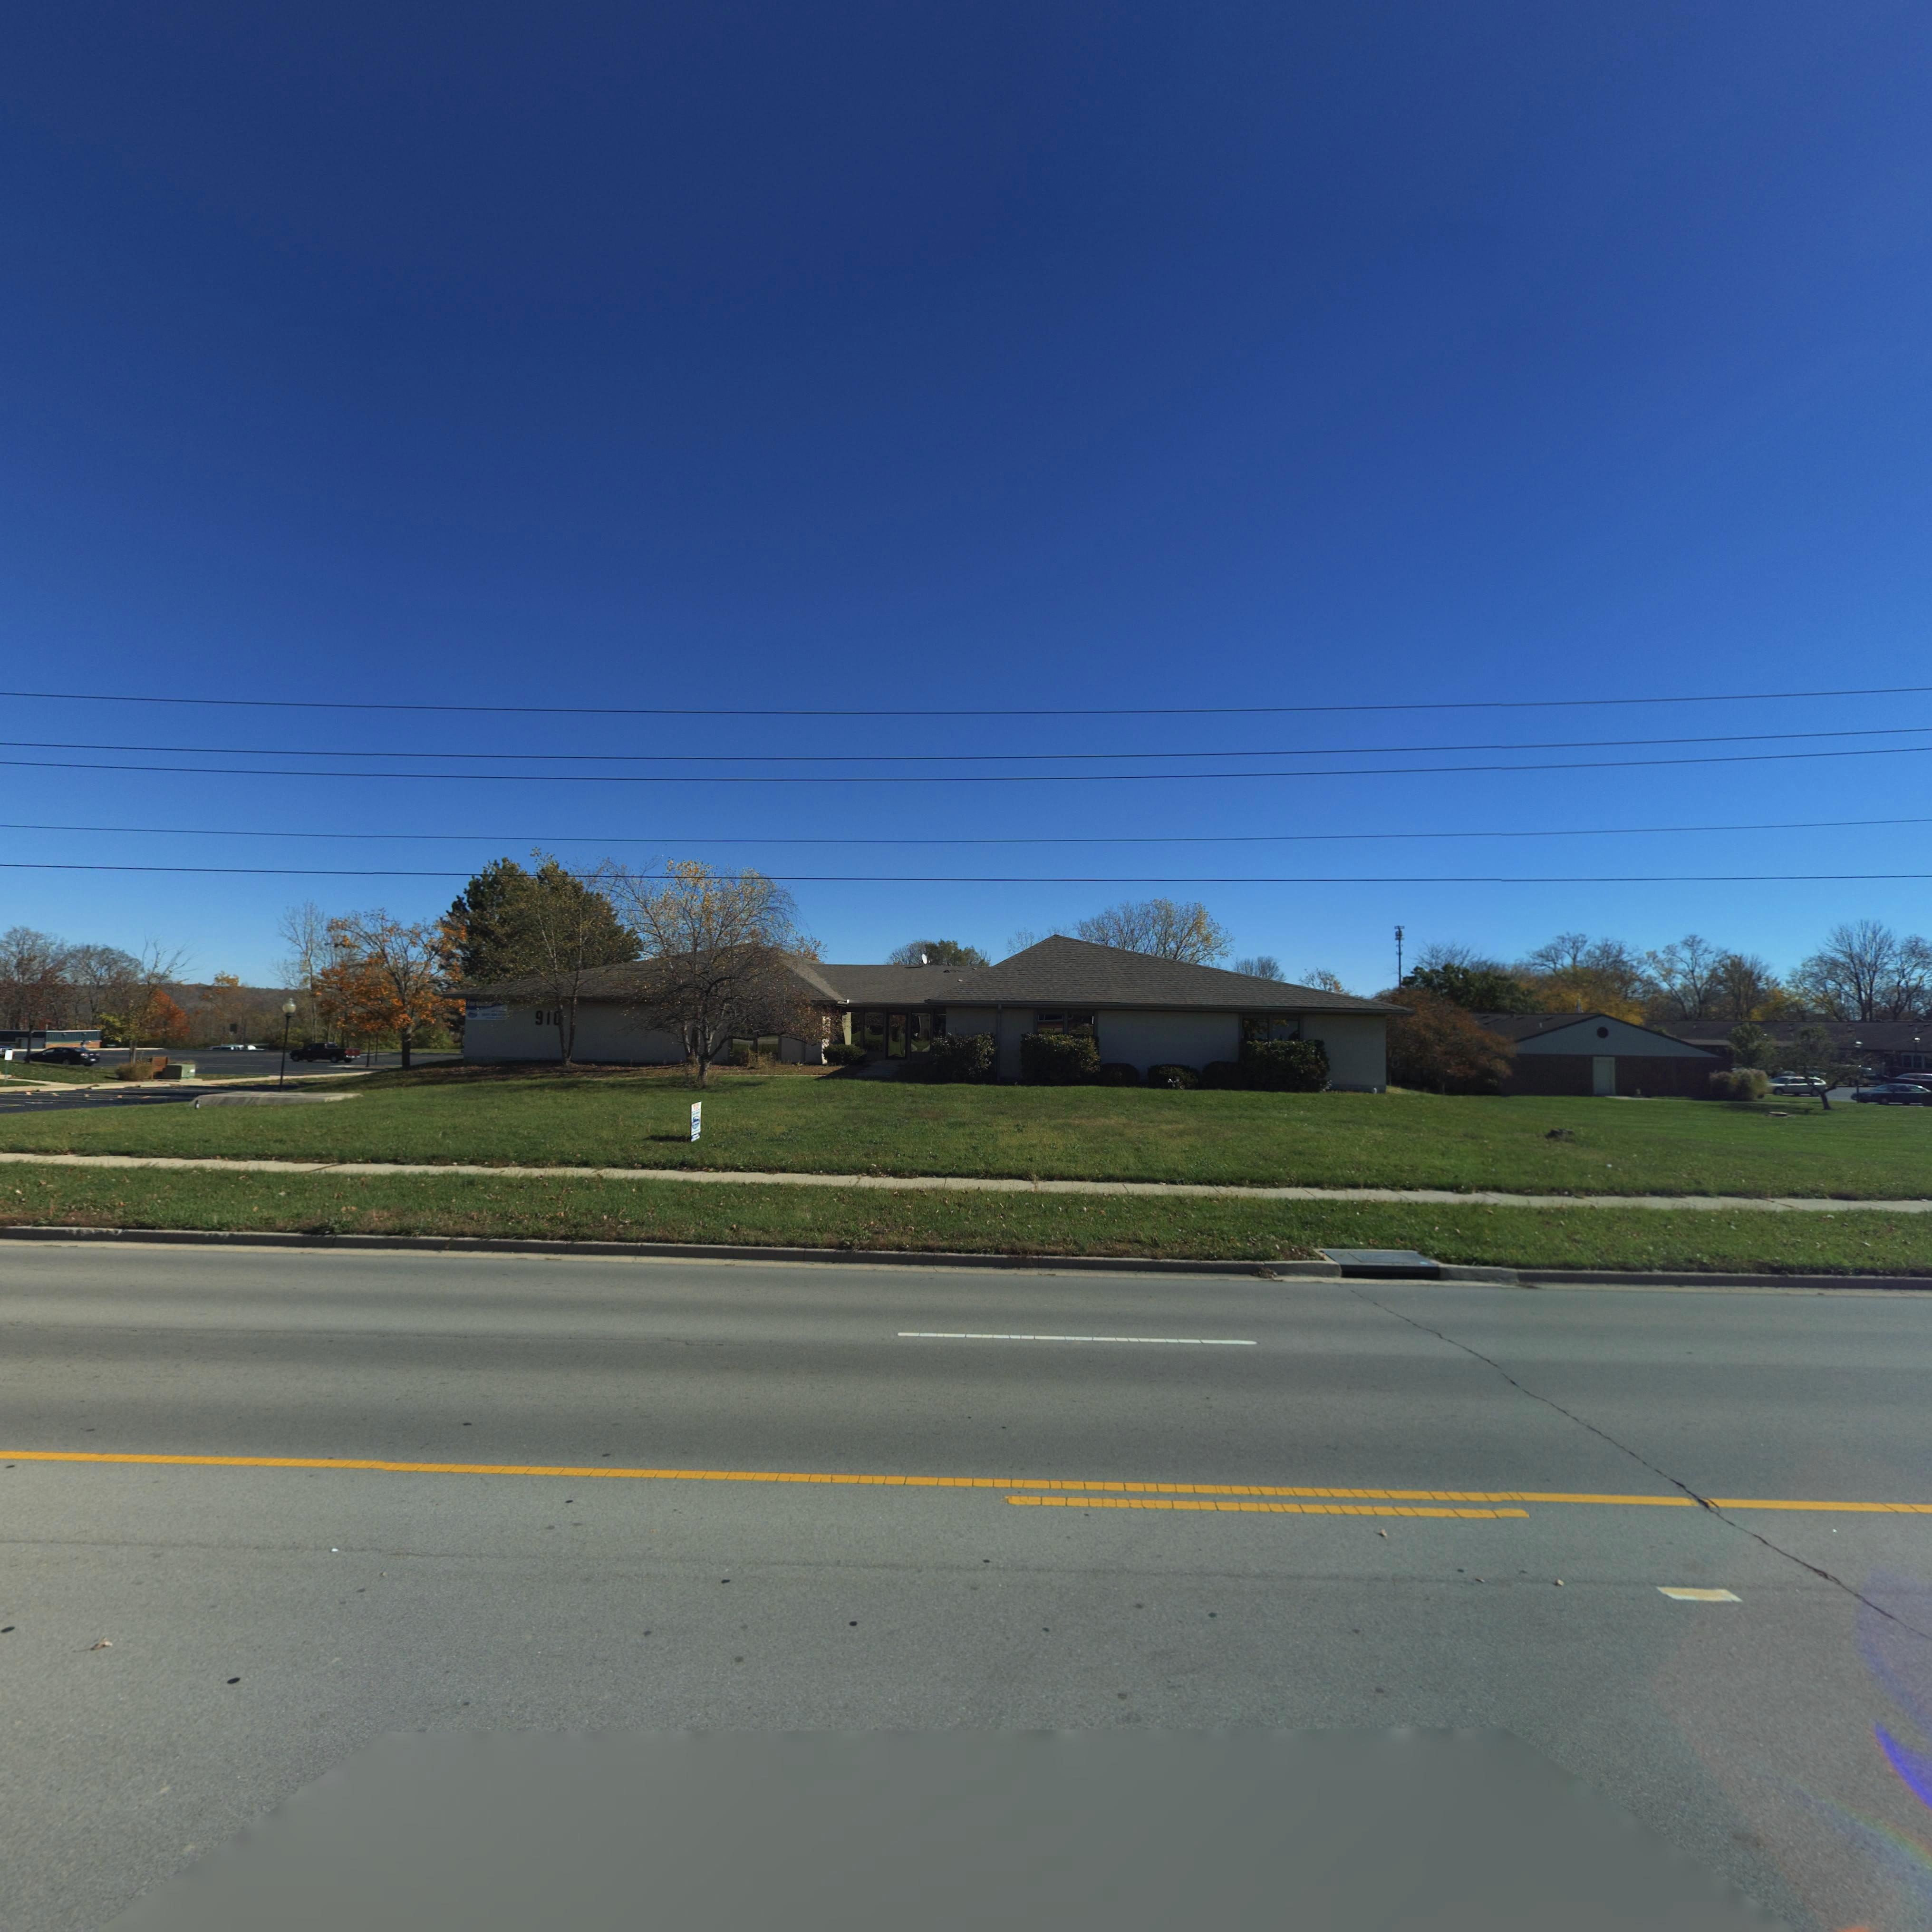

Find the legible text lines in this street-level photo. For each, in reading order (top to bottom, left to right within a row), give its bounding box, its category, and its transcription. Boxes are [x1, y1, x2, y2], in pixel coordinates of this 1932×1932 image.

[535, 1009, 560, 1026] StreetNumber: 91*